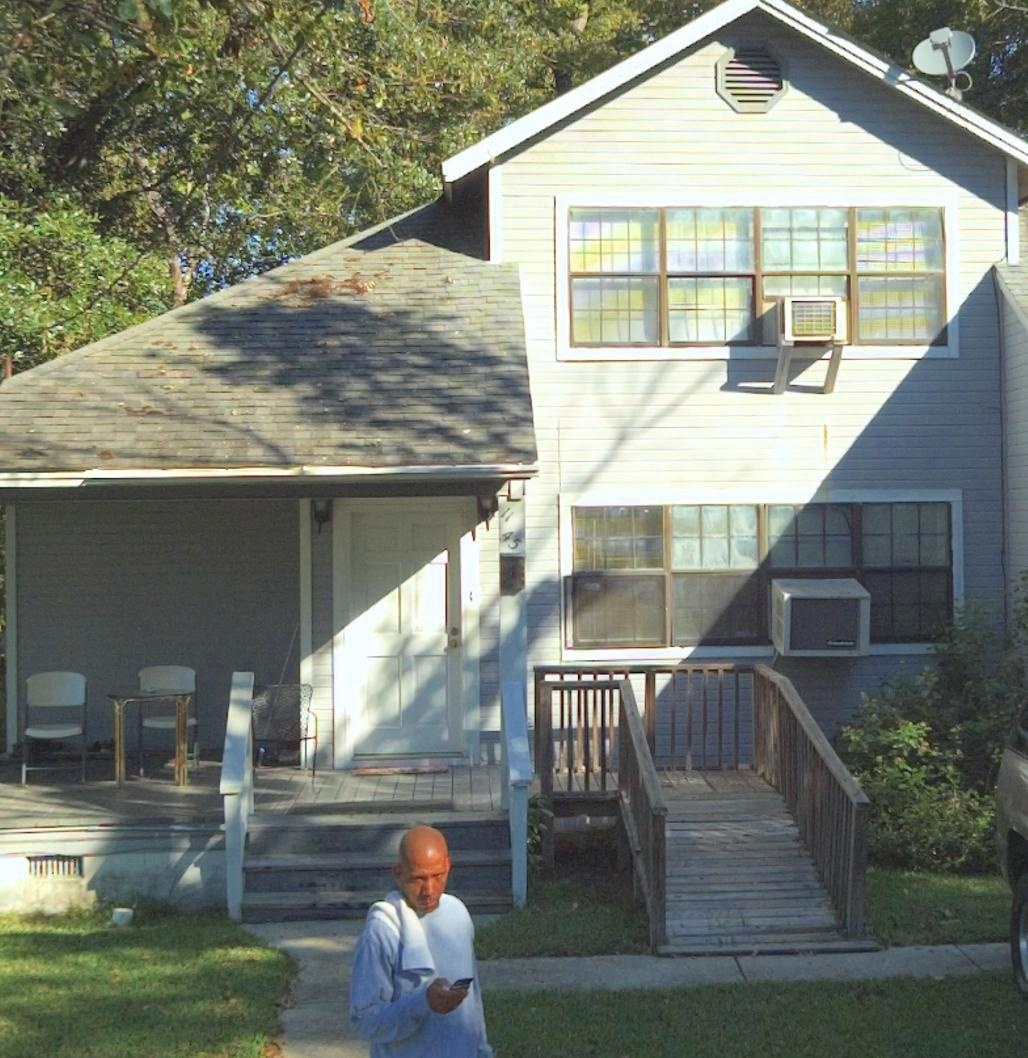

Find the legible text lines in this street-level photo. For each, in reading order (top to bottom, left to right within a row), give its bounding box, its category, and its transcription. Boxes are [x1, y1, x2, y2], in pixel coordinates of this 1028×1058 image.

[496, 502, 527, 556] StreetNumber: 1145